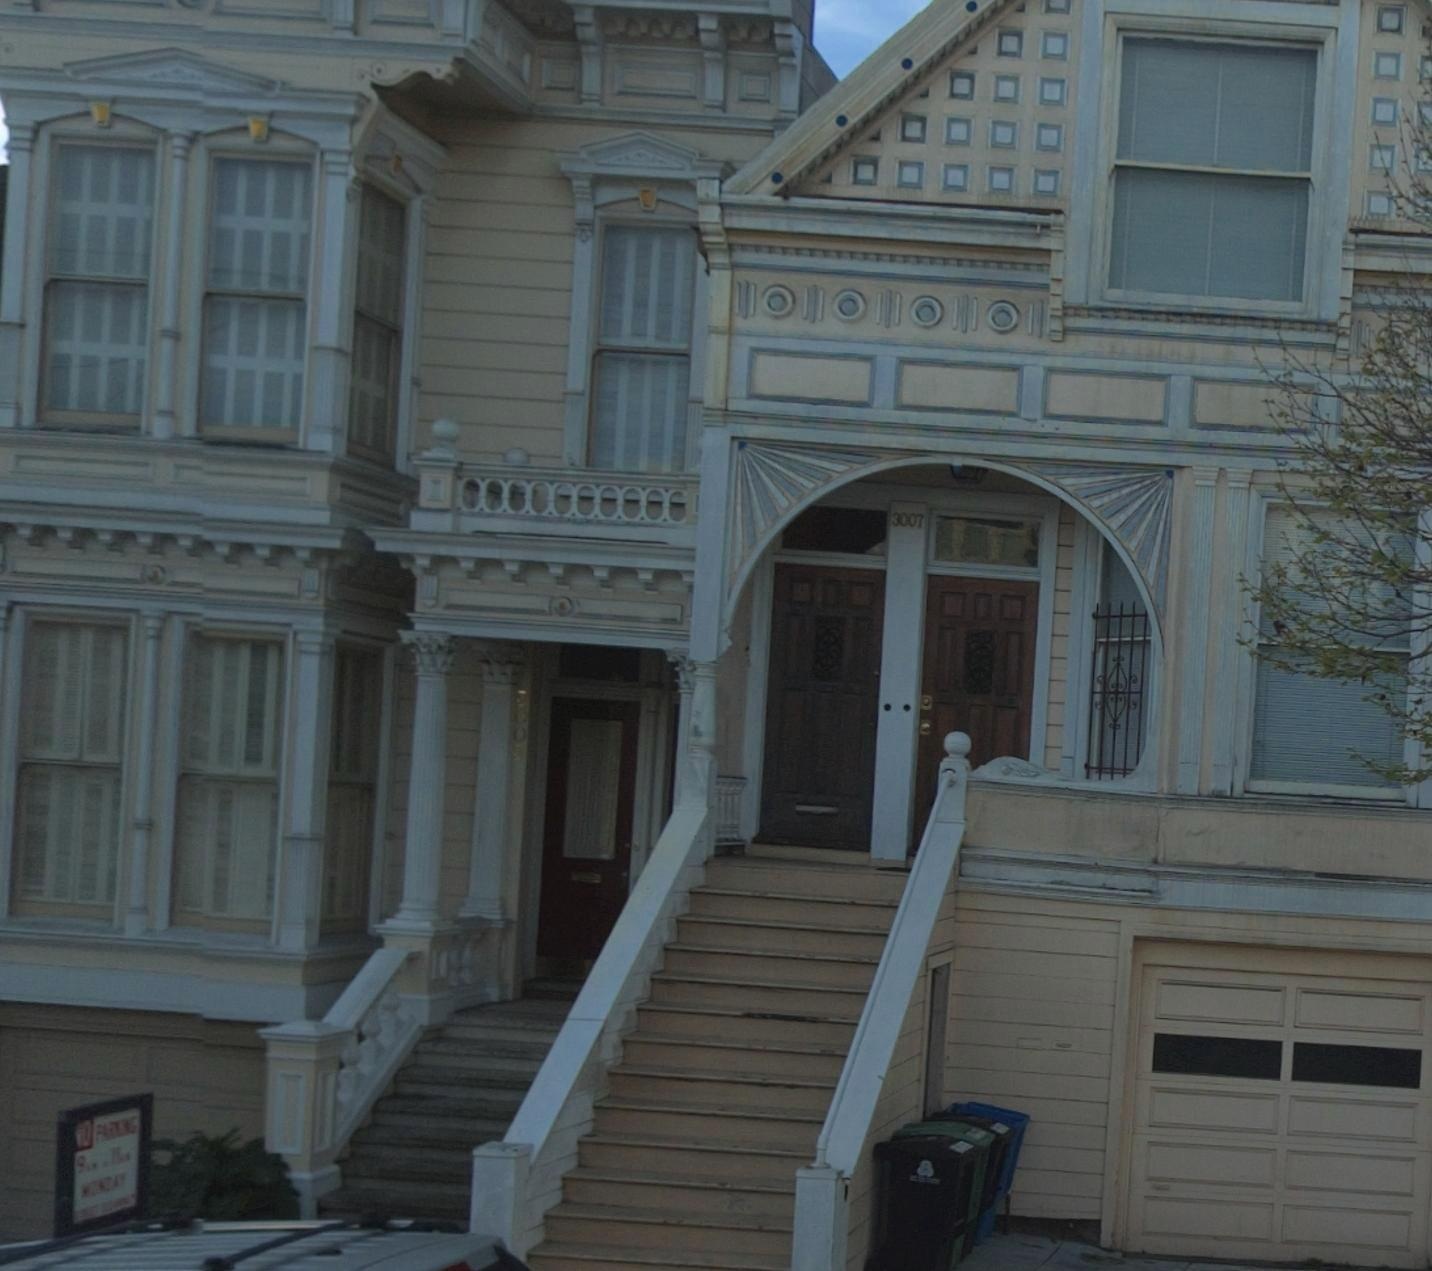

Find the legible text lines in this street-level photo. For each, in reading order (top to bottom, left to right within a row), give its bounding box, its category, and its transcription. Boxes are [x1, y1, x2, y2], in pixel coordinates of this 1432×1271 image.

[887, 510, 928, 531] StreetNumber: 3007
[505, 685, 533, 767] StreetNumber: 300*
[78, 1110, 143, 1152] None: O PARKING
[75, 1152, 89, 1177] None: 9
[107, 1140, 125, 1170] None: 11